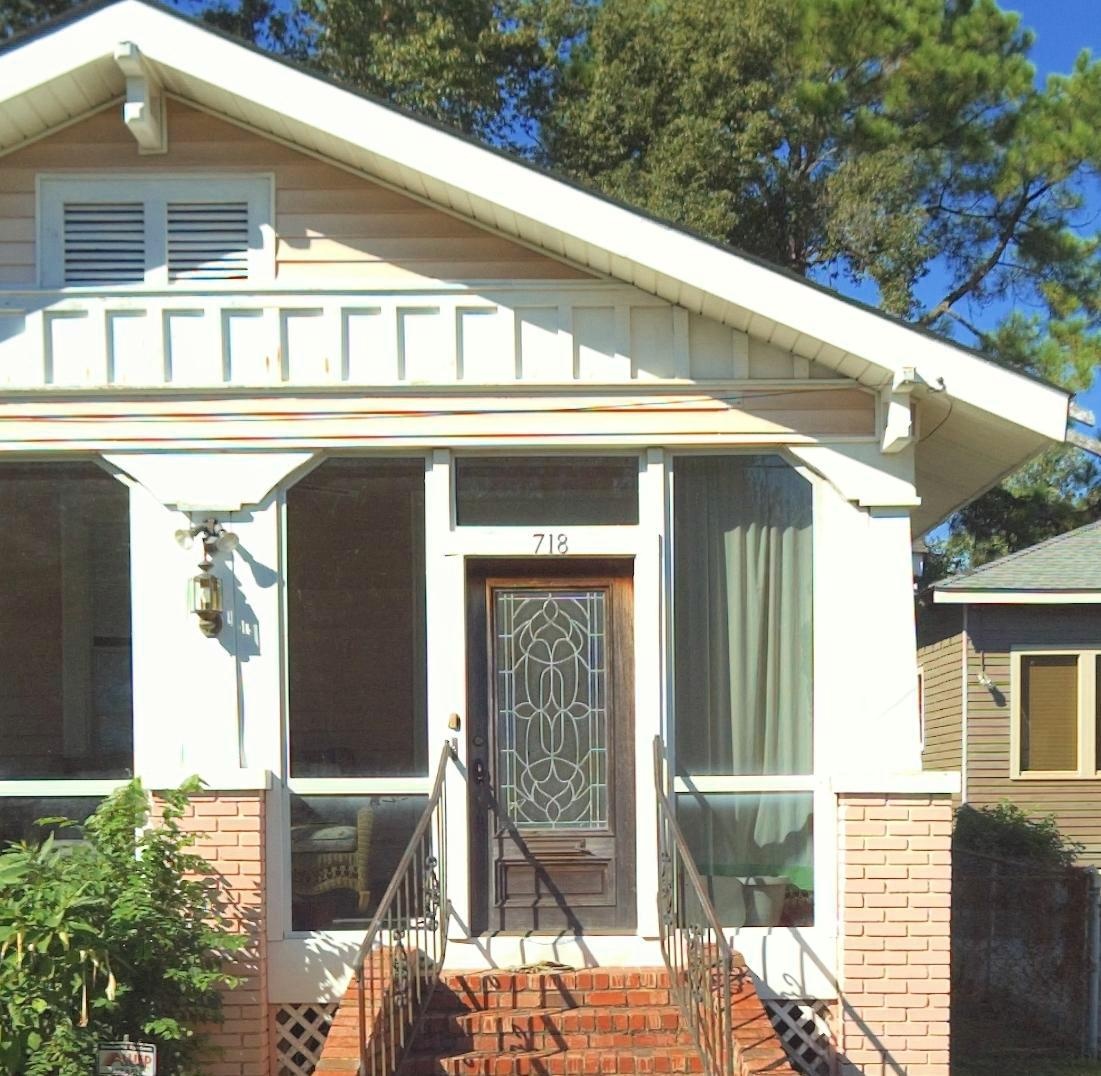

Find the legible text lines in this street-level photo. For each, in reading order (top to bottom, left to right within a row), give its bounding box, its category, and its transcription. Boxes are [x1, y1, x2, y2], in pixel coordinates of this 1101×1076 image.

[531, 532, 570, 556] StreetNumber: 718